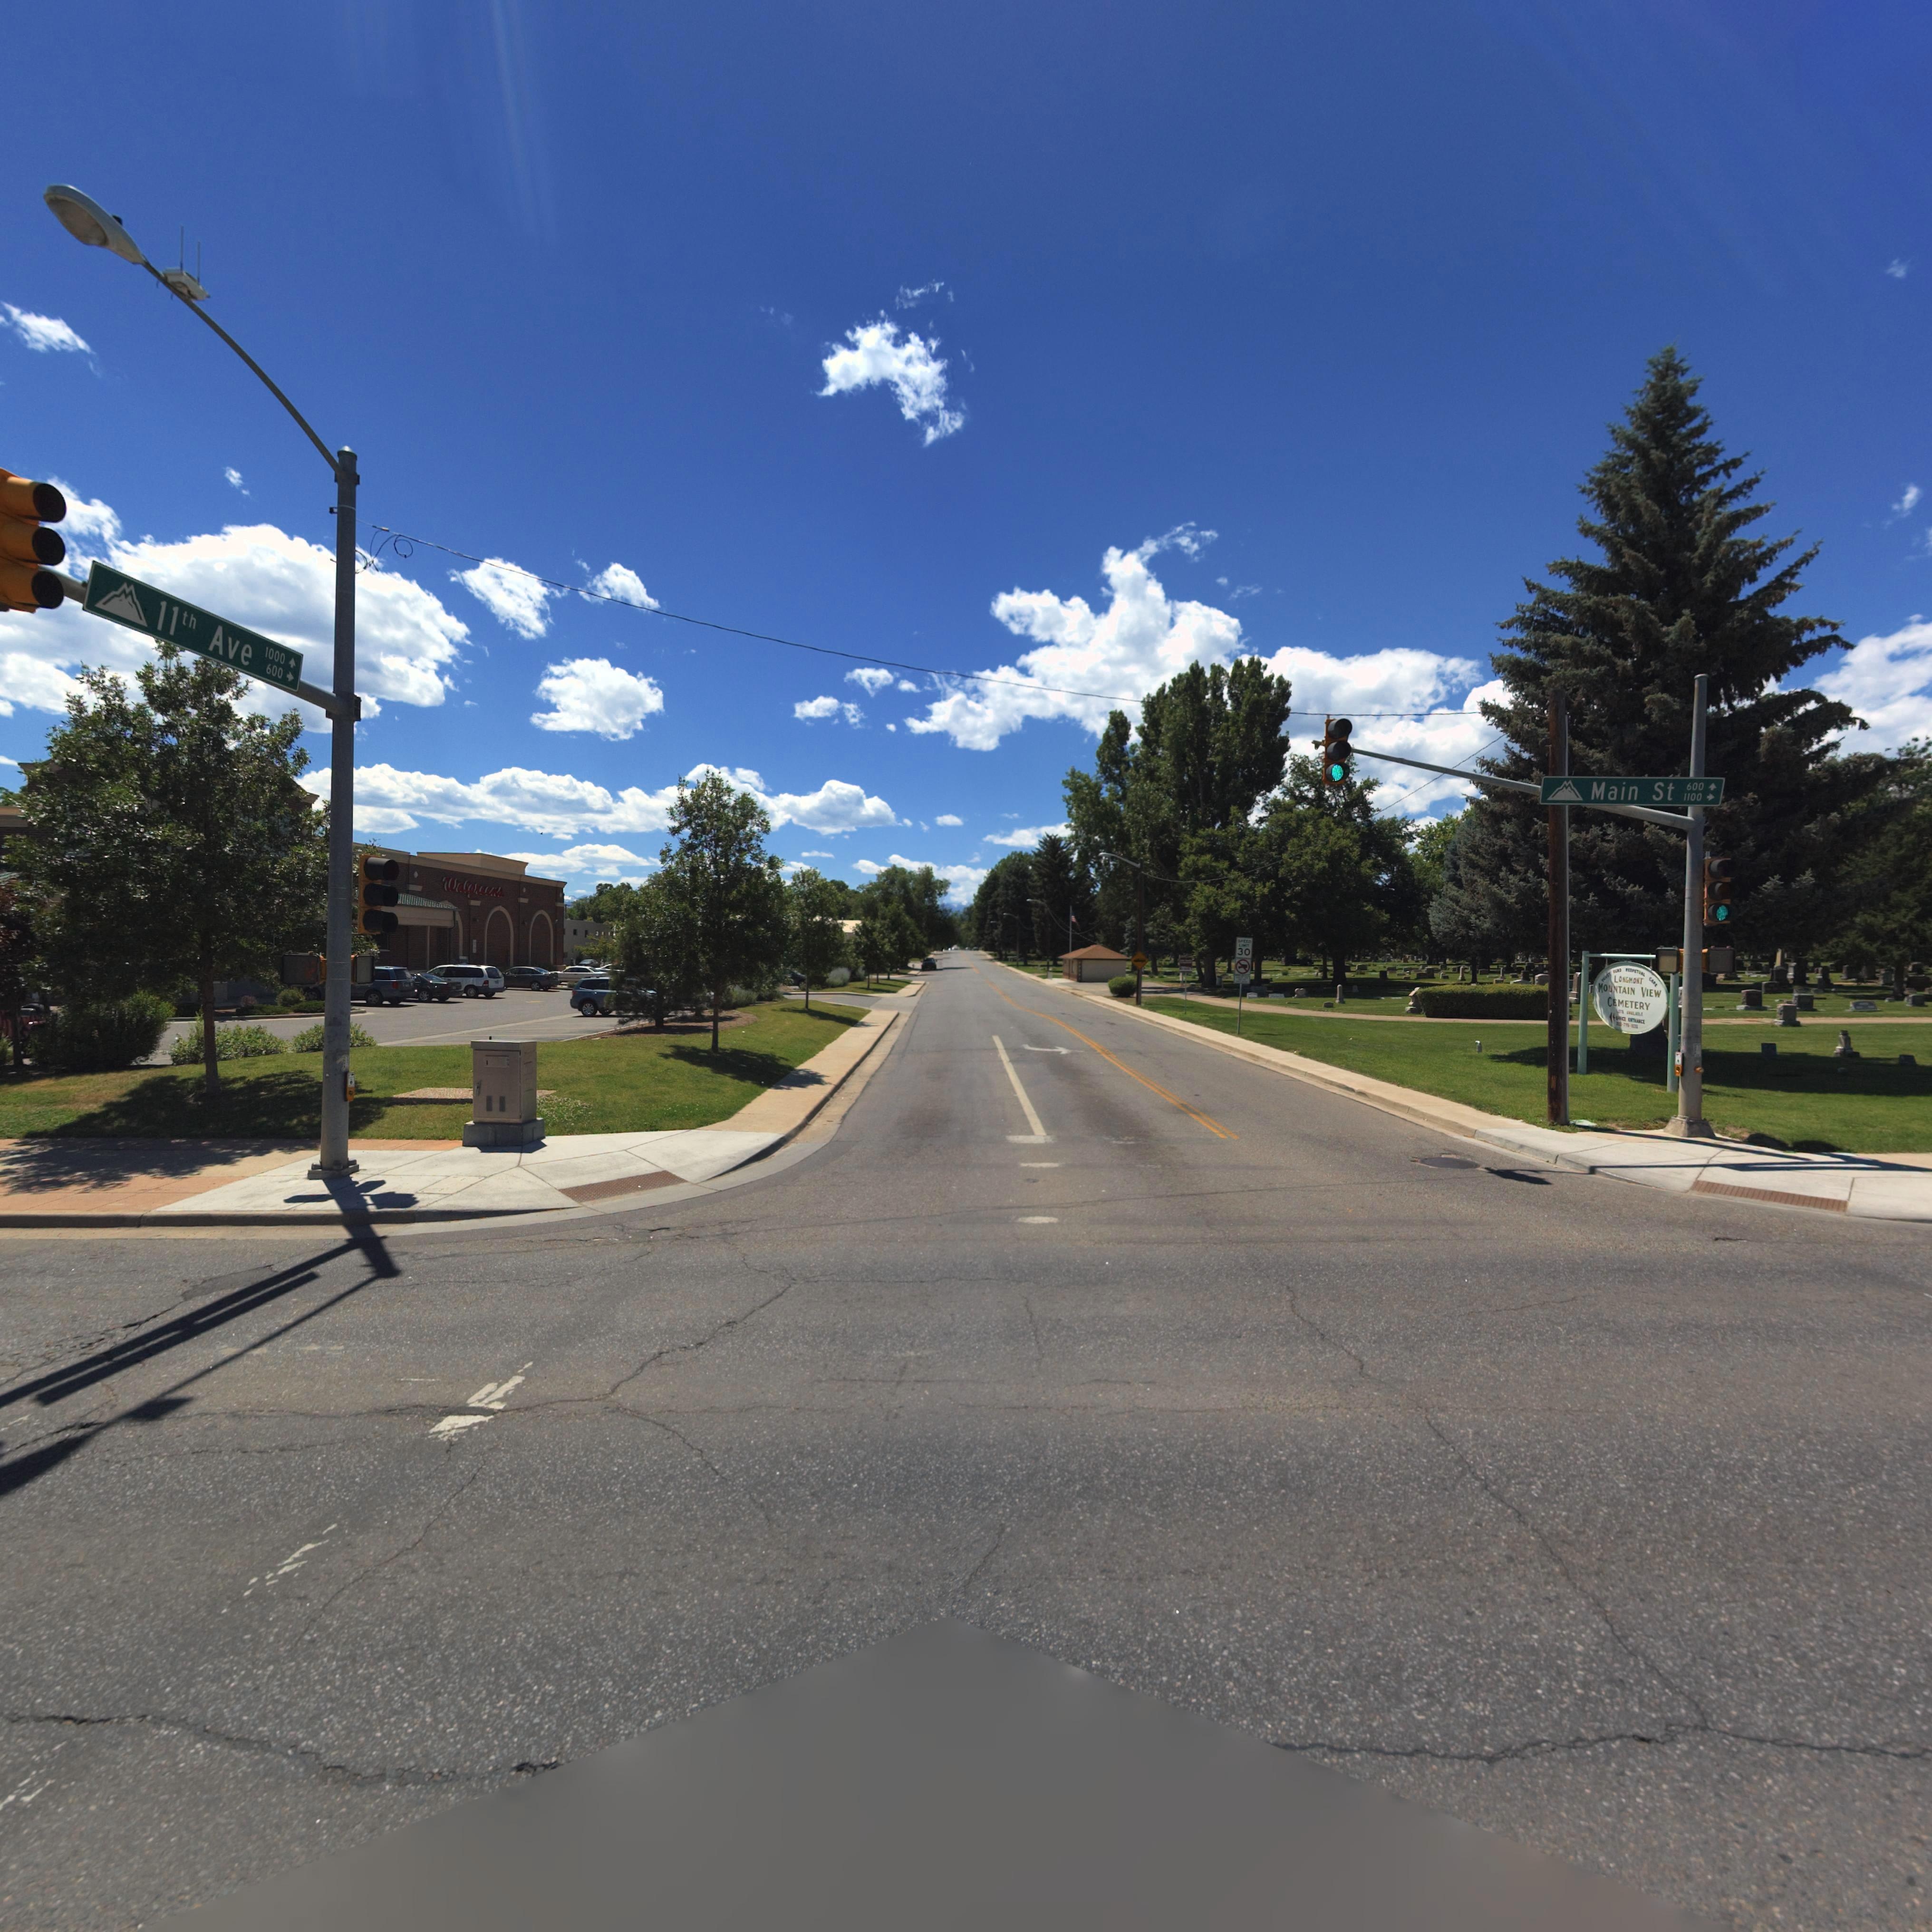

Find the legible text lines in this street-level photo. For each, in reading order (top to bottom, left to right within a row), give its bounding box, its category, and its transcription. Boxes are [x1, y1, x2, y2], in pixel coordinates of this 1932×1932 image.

[155, 598, 252, 667] StreetName: 11th Ave
[264, 645, 285, 665] StreetNumberRange: 1000
[265, 662, 295, 683] StreetNumberRange: 600->
[1590, 780, 1675, 802] StreetName: Main St
[1685, 782, 1704, 791] StreetNumberRange: 600
[1683, 792, 1715, 802] StreetNumberRange: 1100->
[442, 876, 505, 898] BusinessName: Walgreens
[1613, 975, 1644, 985] BusinessName: LONGMONT
[1598, 982, 1662, 998] BusinessName: MOUNTAIN VIEW
[1607, 996, 1652, 1011] BusinessName: CEMETERY